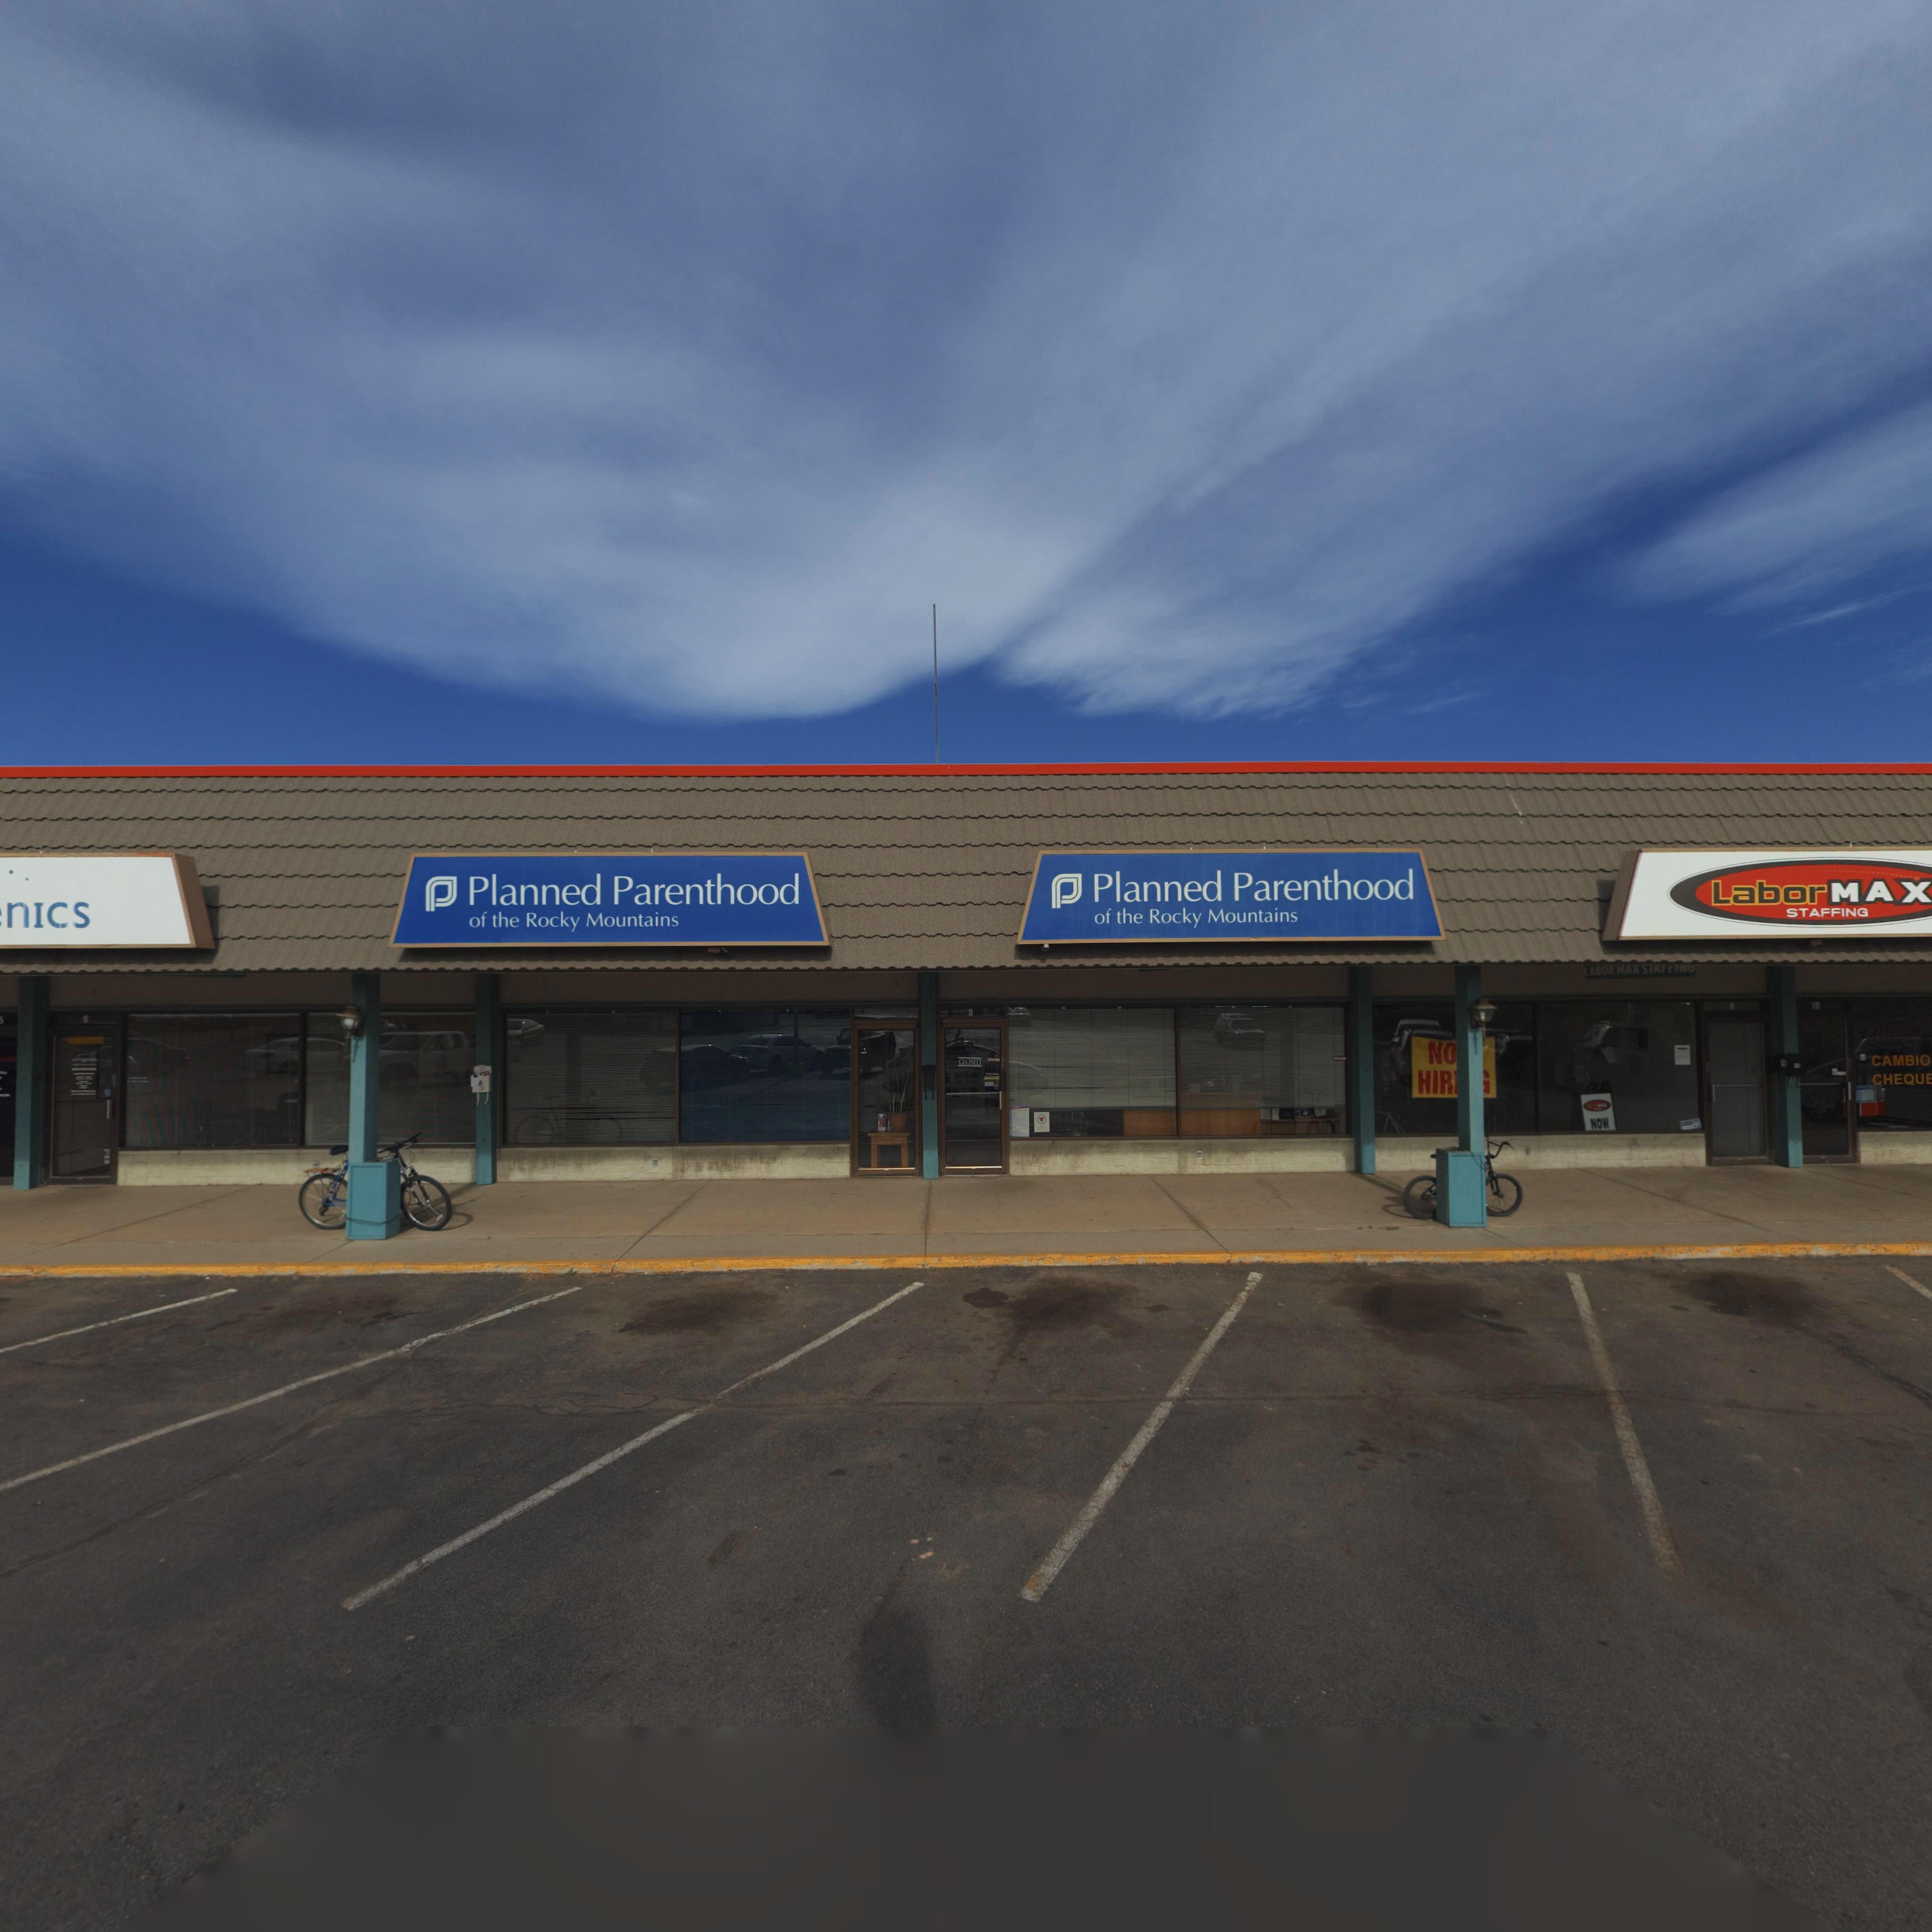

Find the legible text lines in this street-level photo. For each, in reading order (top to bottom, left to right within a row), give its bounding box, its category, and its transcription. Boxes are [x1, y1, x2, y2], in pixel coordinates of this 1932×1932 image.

[468, 872, 800, 906] BusinessName: Planned Parenthood
[1092, 867, 1415, 904] BusinessName: Planned Parenthood
[1711, 876, 1898, 907] BusinessName: LaborMa
[6, 901, 90, 929] BusinessName: nics
[1786, 907, 1870, 918] BusinessName: STAFFING
[968, 1008, 973, 1016] StreetNumber: 8
[1729, 1002, 1734, 1010] StreetNumber: 9
[1811, 1001, 1821, 1010] StreetNumber: 10
[1870, 1053, 1931, 1067] BusinessName: CAMBIO
[478, 1079, 483, 1086] StreetNumber: 6
[1871, 1072, 1925, 1086] BusinessName: CHEQU